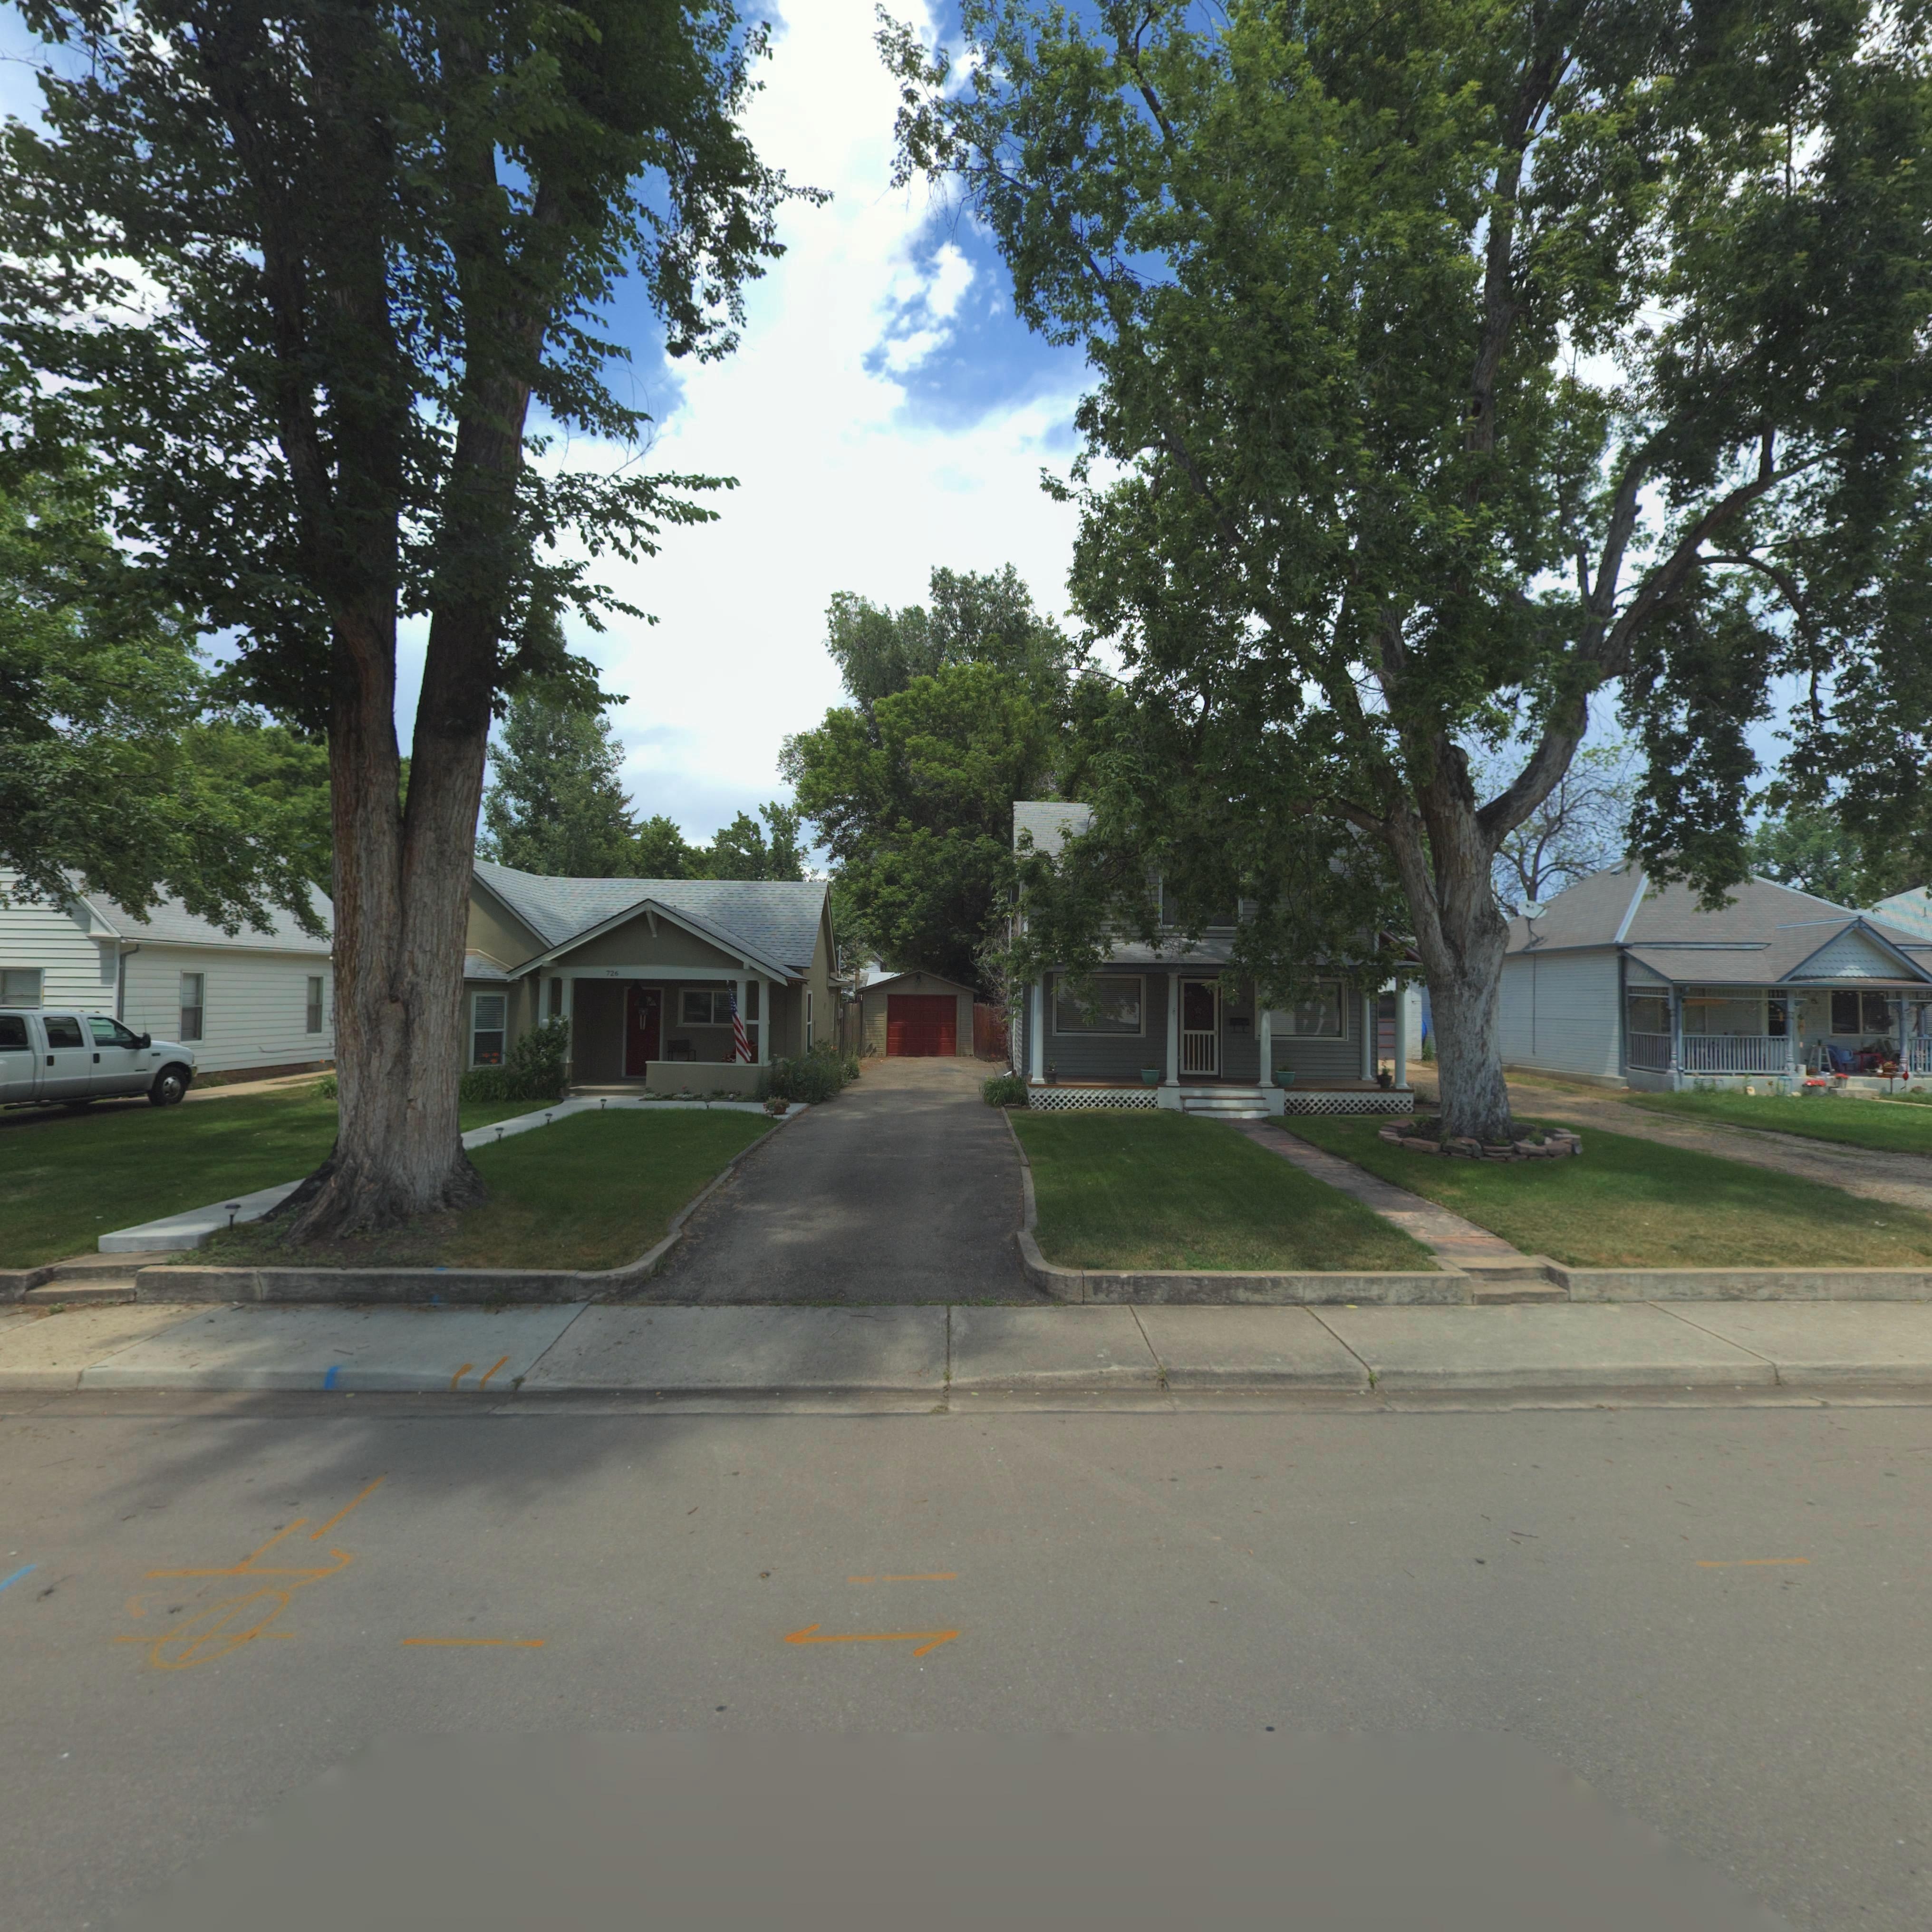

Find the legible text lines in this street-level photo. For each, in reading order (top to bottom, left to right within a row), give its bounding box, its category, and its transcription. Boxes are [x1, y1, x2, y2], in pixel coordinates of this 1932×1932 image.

[606, 970, 618, 976] StreetNumber: 726
[1242, 995, 1253, 1008] None: 22
[1804, 1005, 1822, 1015] StreetNumber: 7*4